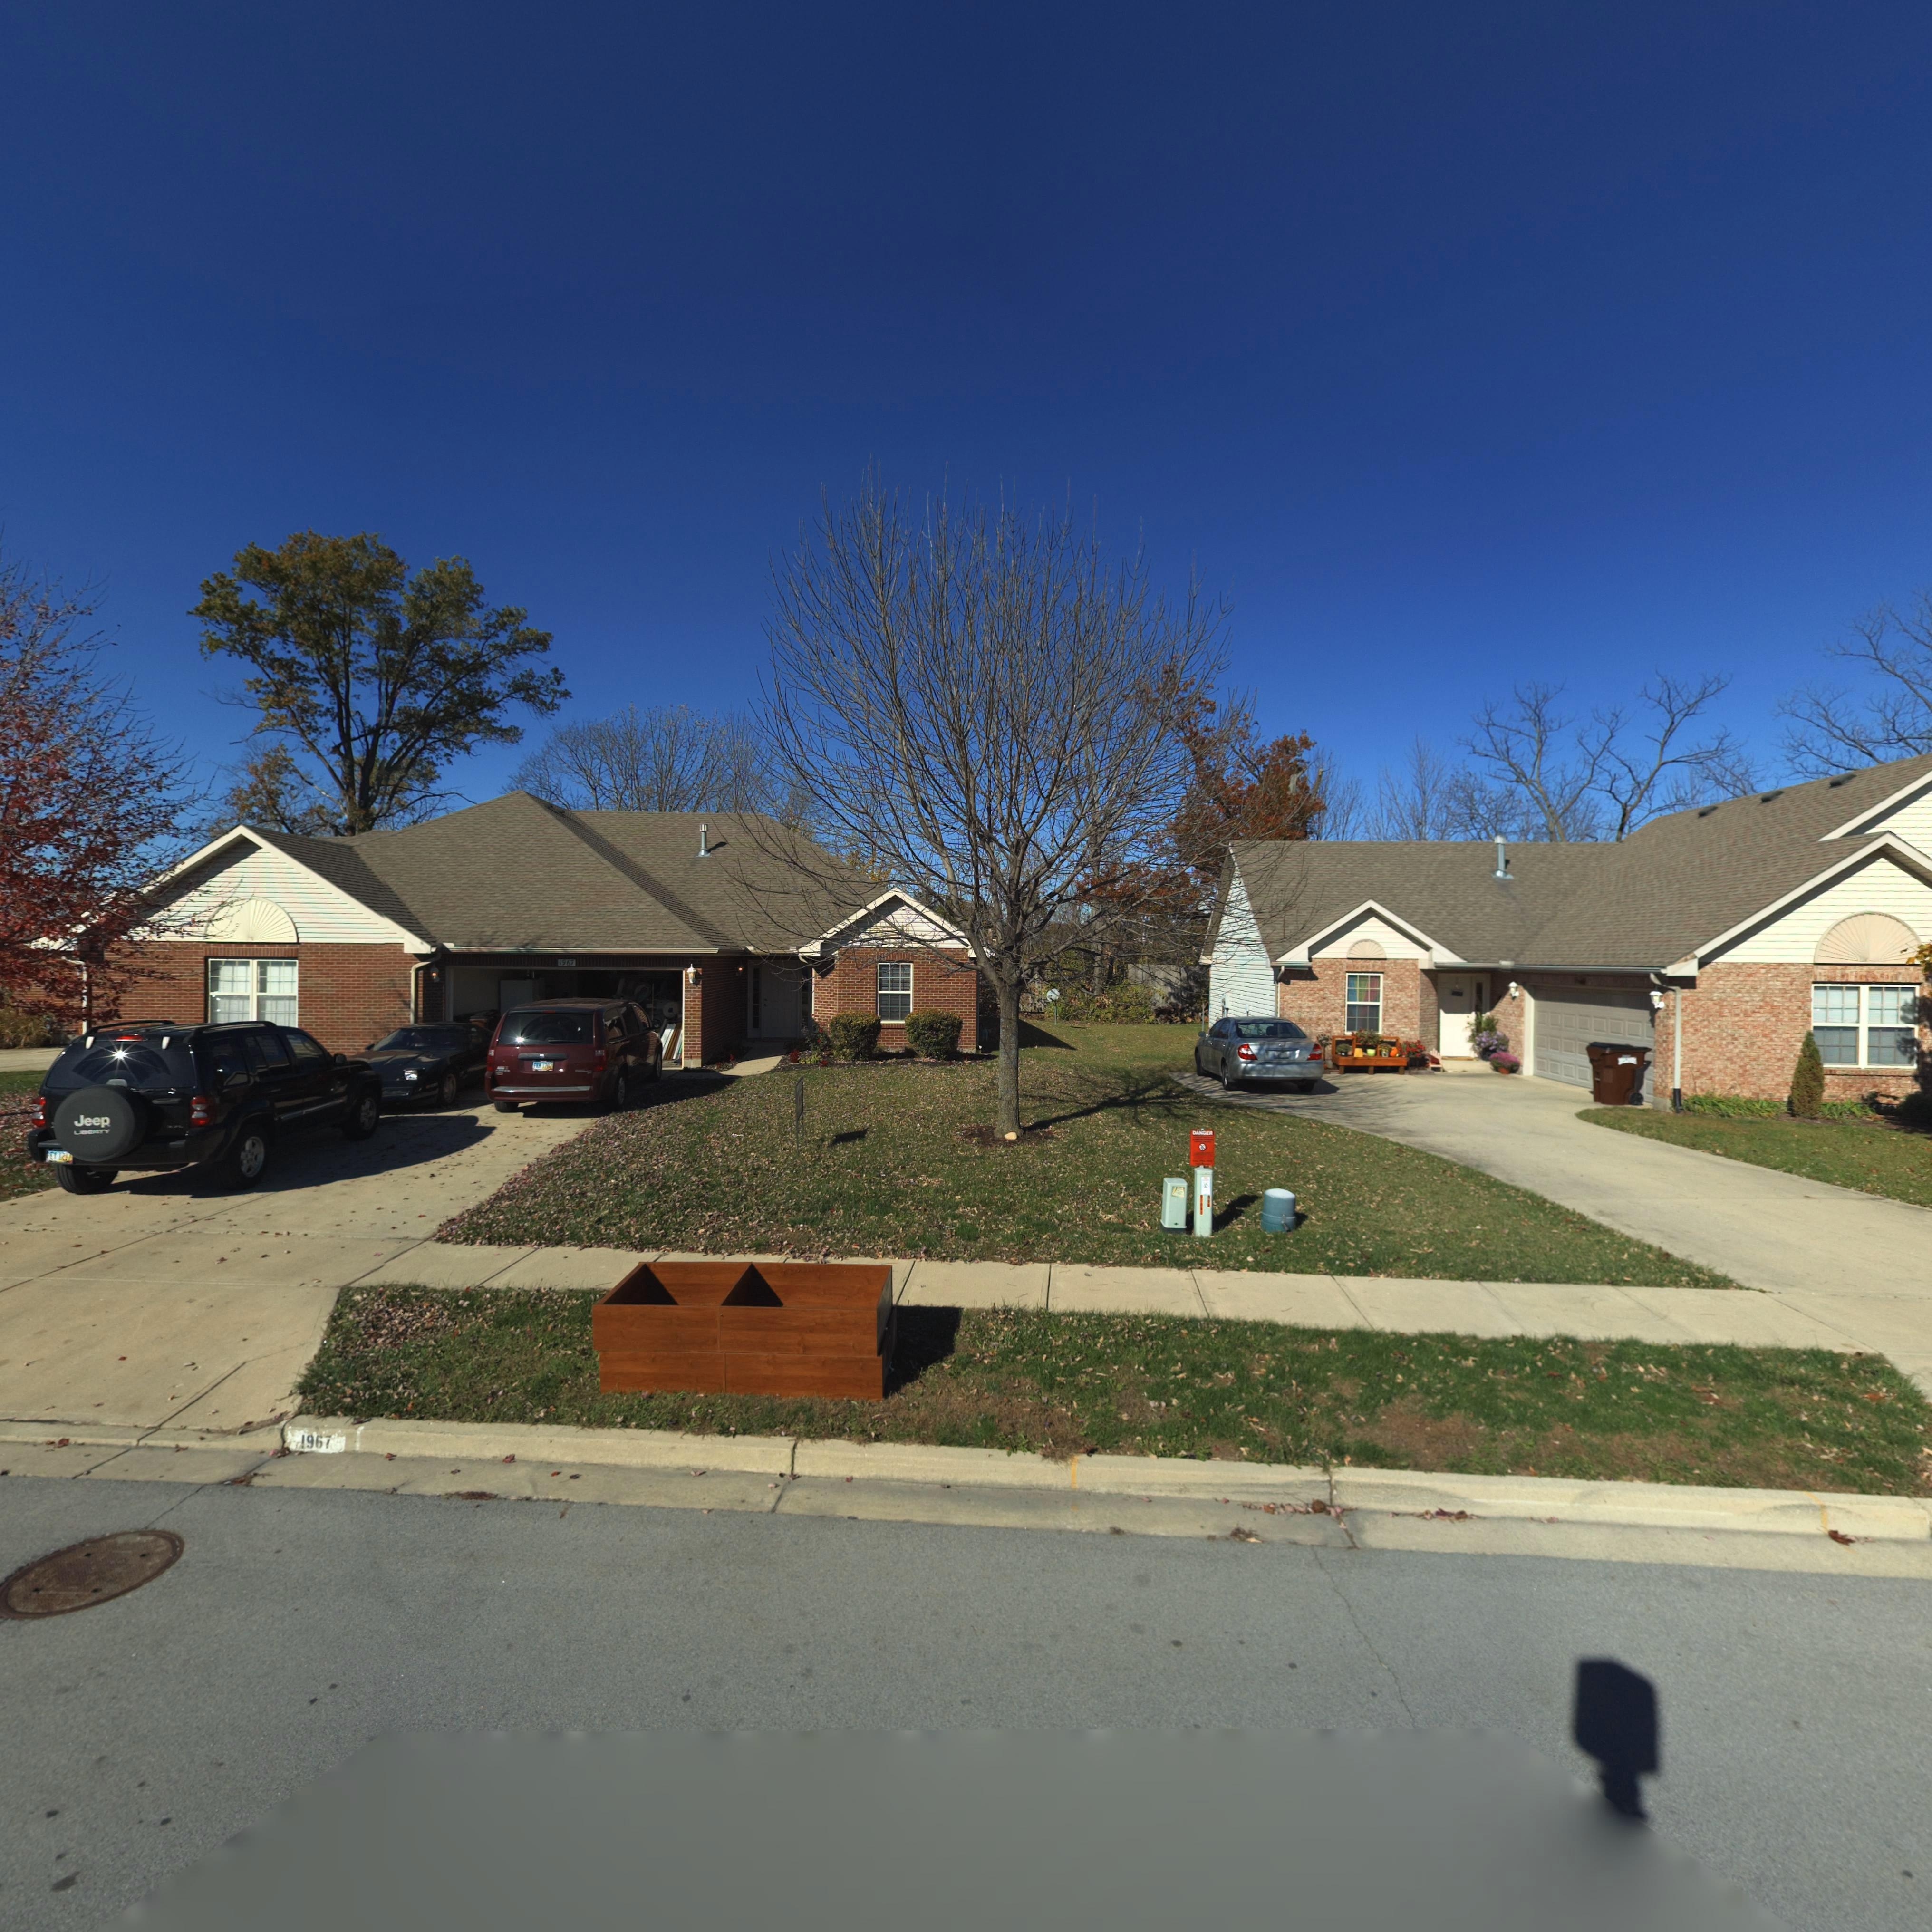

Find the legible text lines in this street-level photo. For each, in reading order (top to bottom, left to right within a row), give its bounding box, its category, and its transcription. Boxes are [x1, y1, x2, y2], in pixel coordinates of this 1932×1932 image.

[559, 959, 575, 966] StreetNumber: 1967
[300, 1432, 333, 1450] StreetNumber: 1967